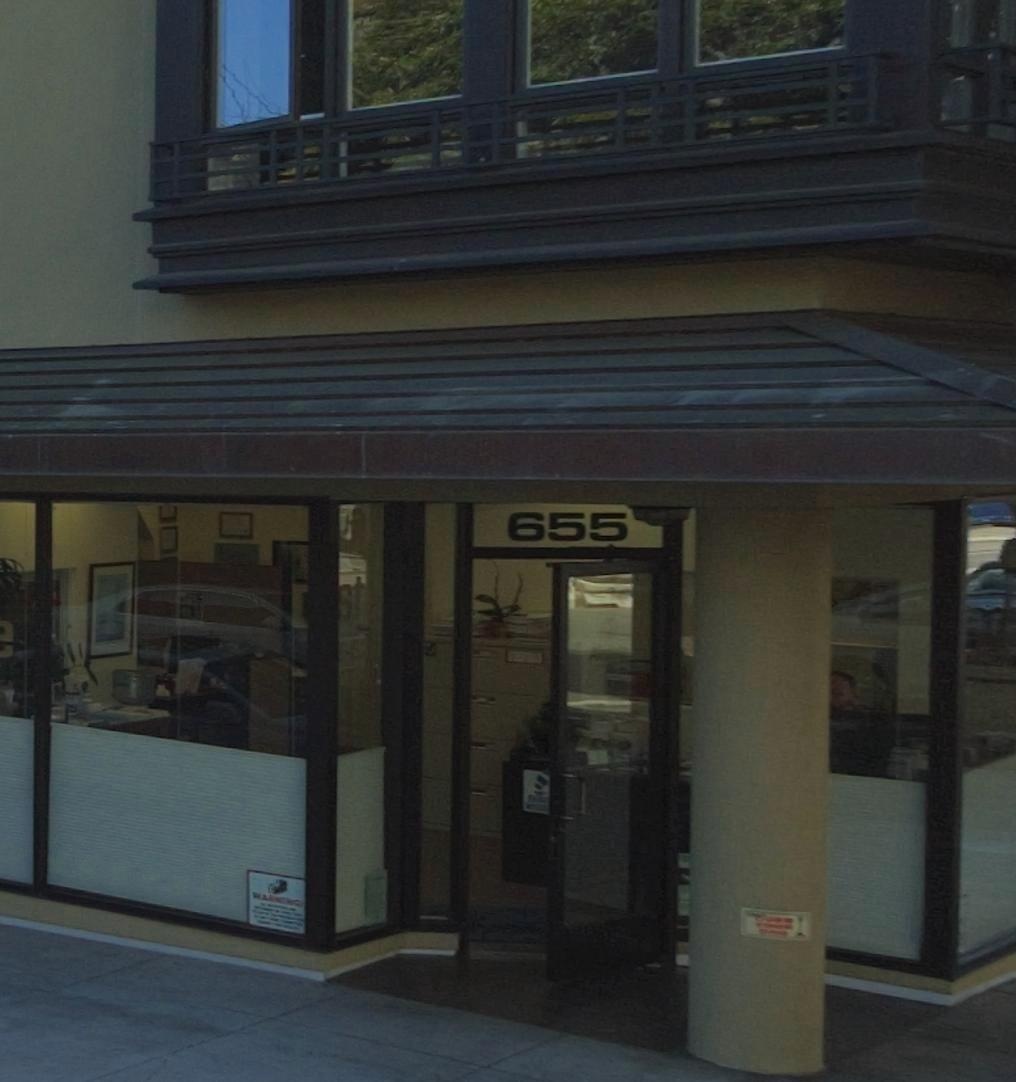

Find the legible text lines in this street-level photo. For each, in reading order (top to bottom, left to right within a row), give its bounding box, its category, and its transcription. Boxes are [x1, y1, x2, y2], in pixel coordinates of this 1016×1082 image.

[506, 511, 629, 543] StreetNumber: 655